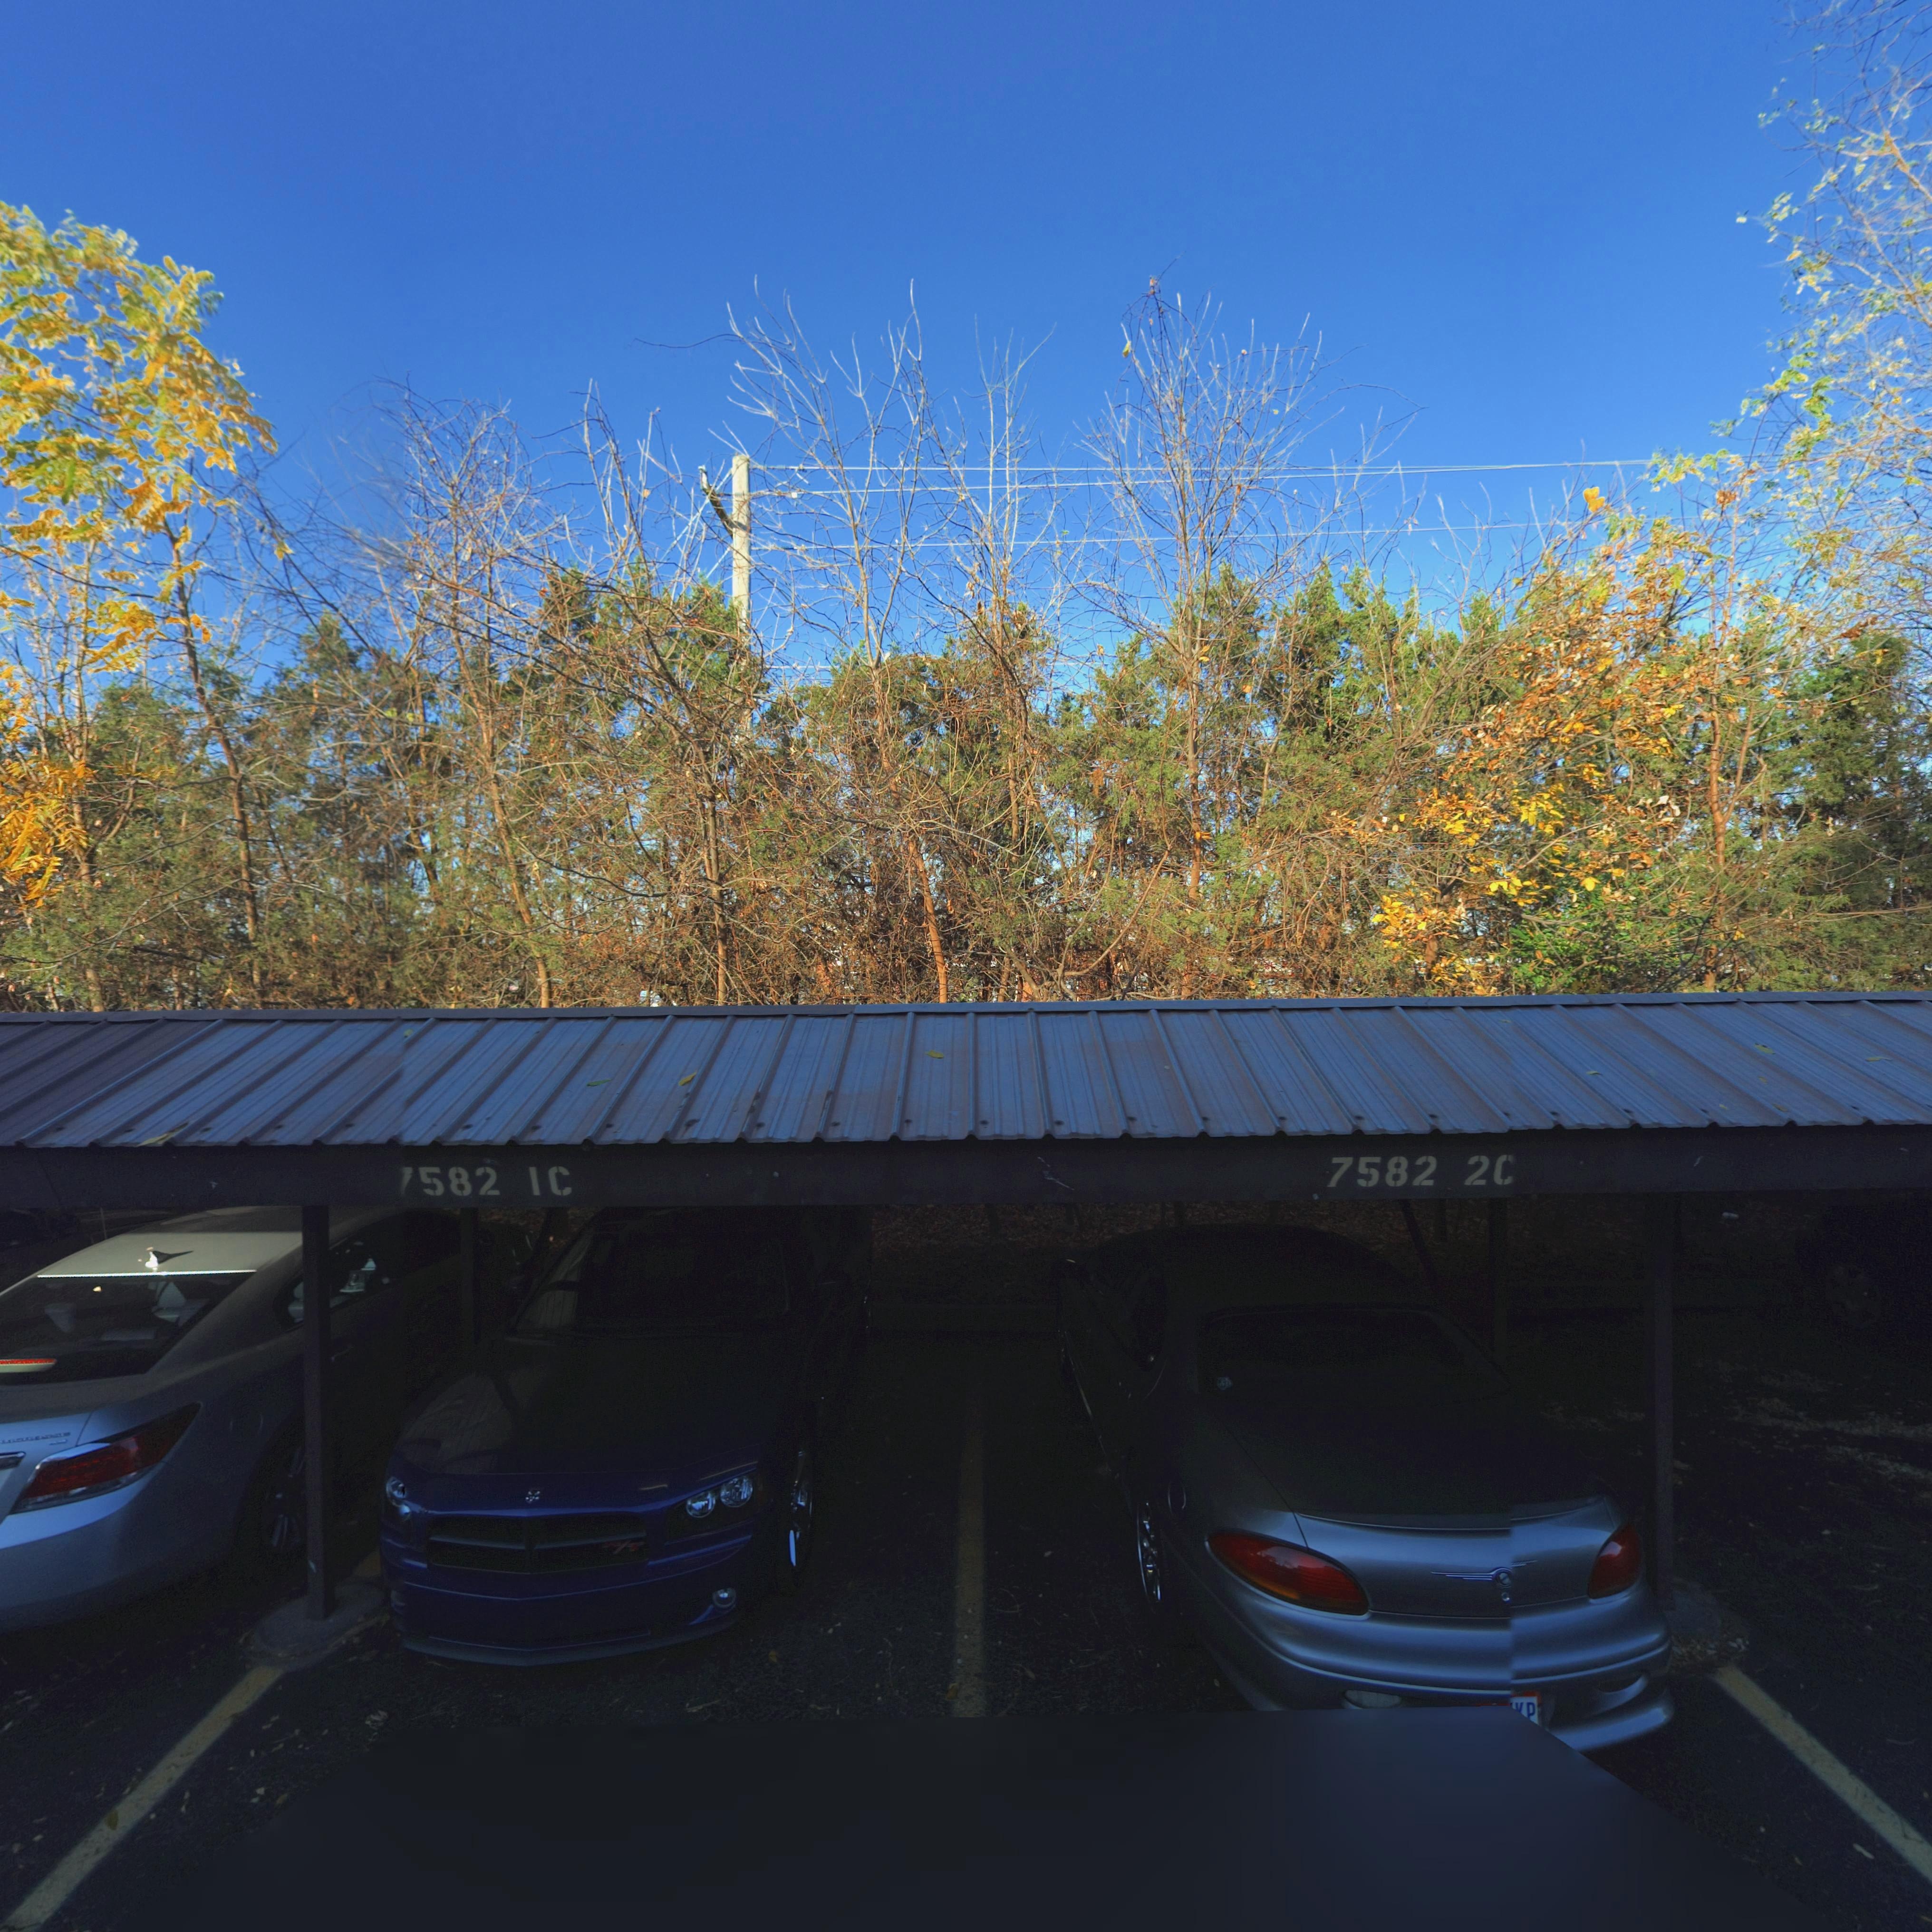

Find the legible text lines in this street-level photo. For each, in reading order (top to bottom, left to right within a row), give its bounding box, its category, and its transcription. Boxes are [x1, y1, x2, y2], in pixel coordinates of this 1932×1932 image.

[417, 1166, 502, 1198] StreetNumber: 582
[1325, 1155, 1439, 1189] StreetNumber: 7582